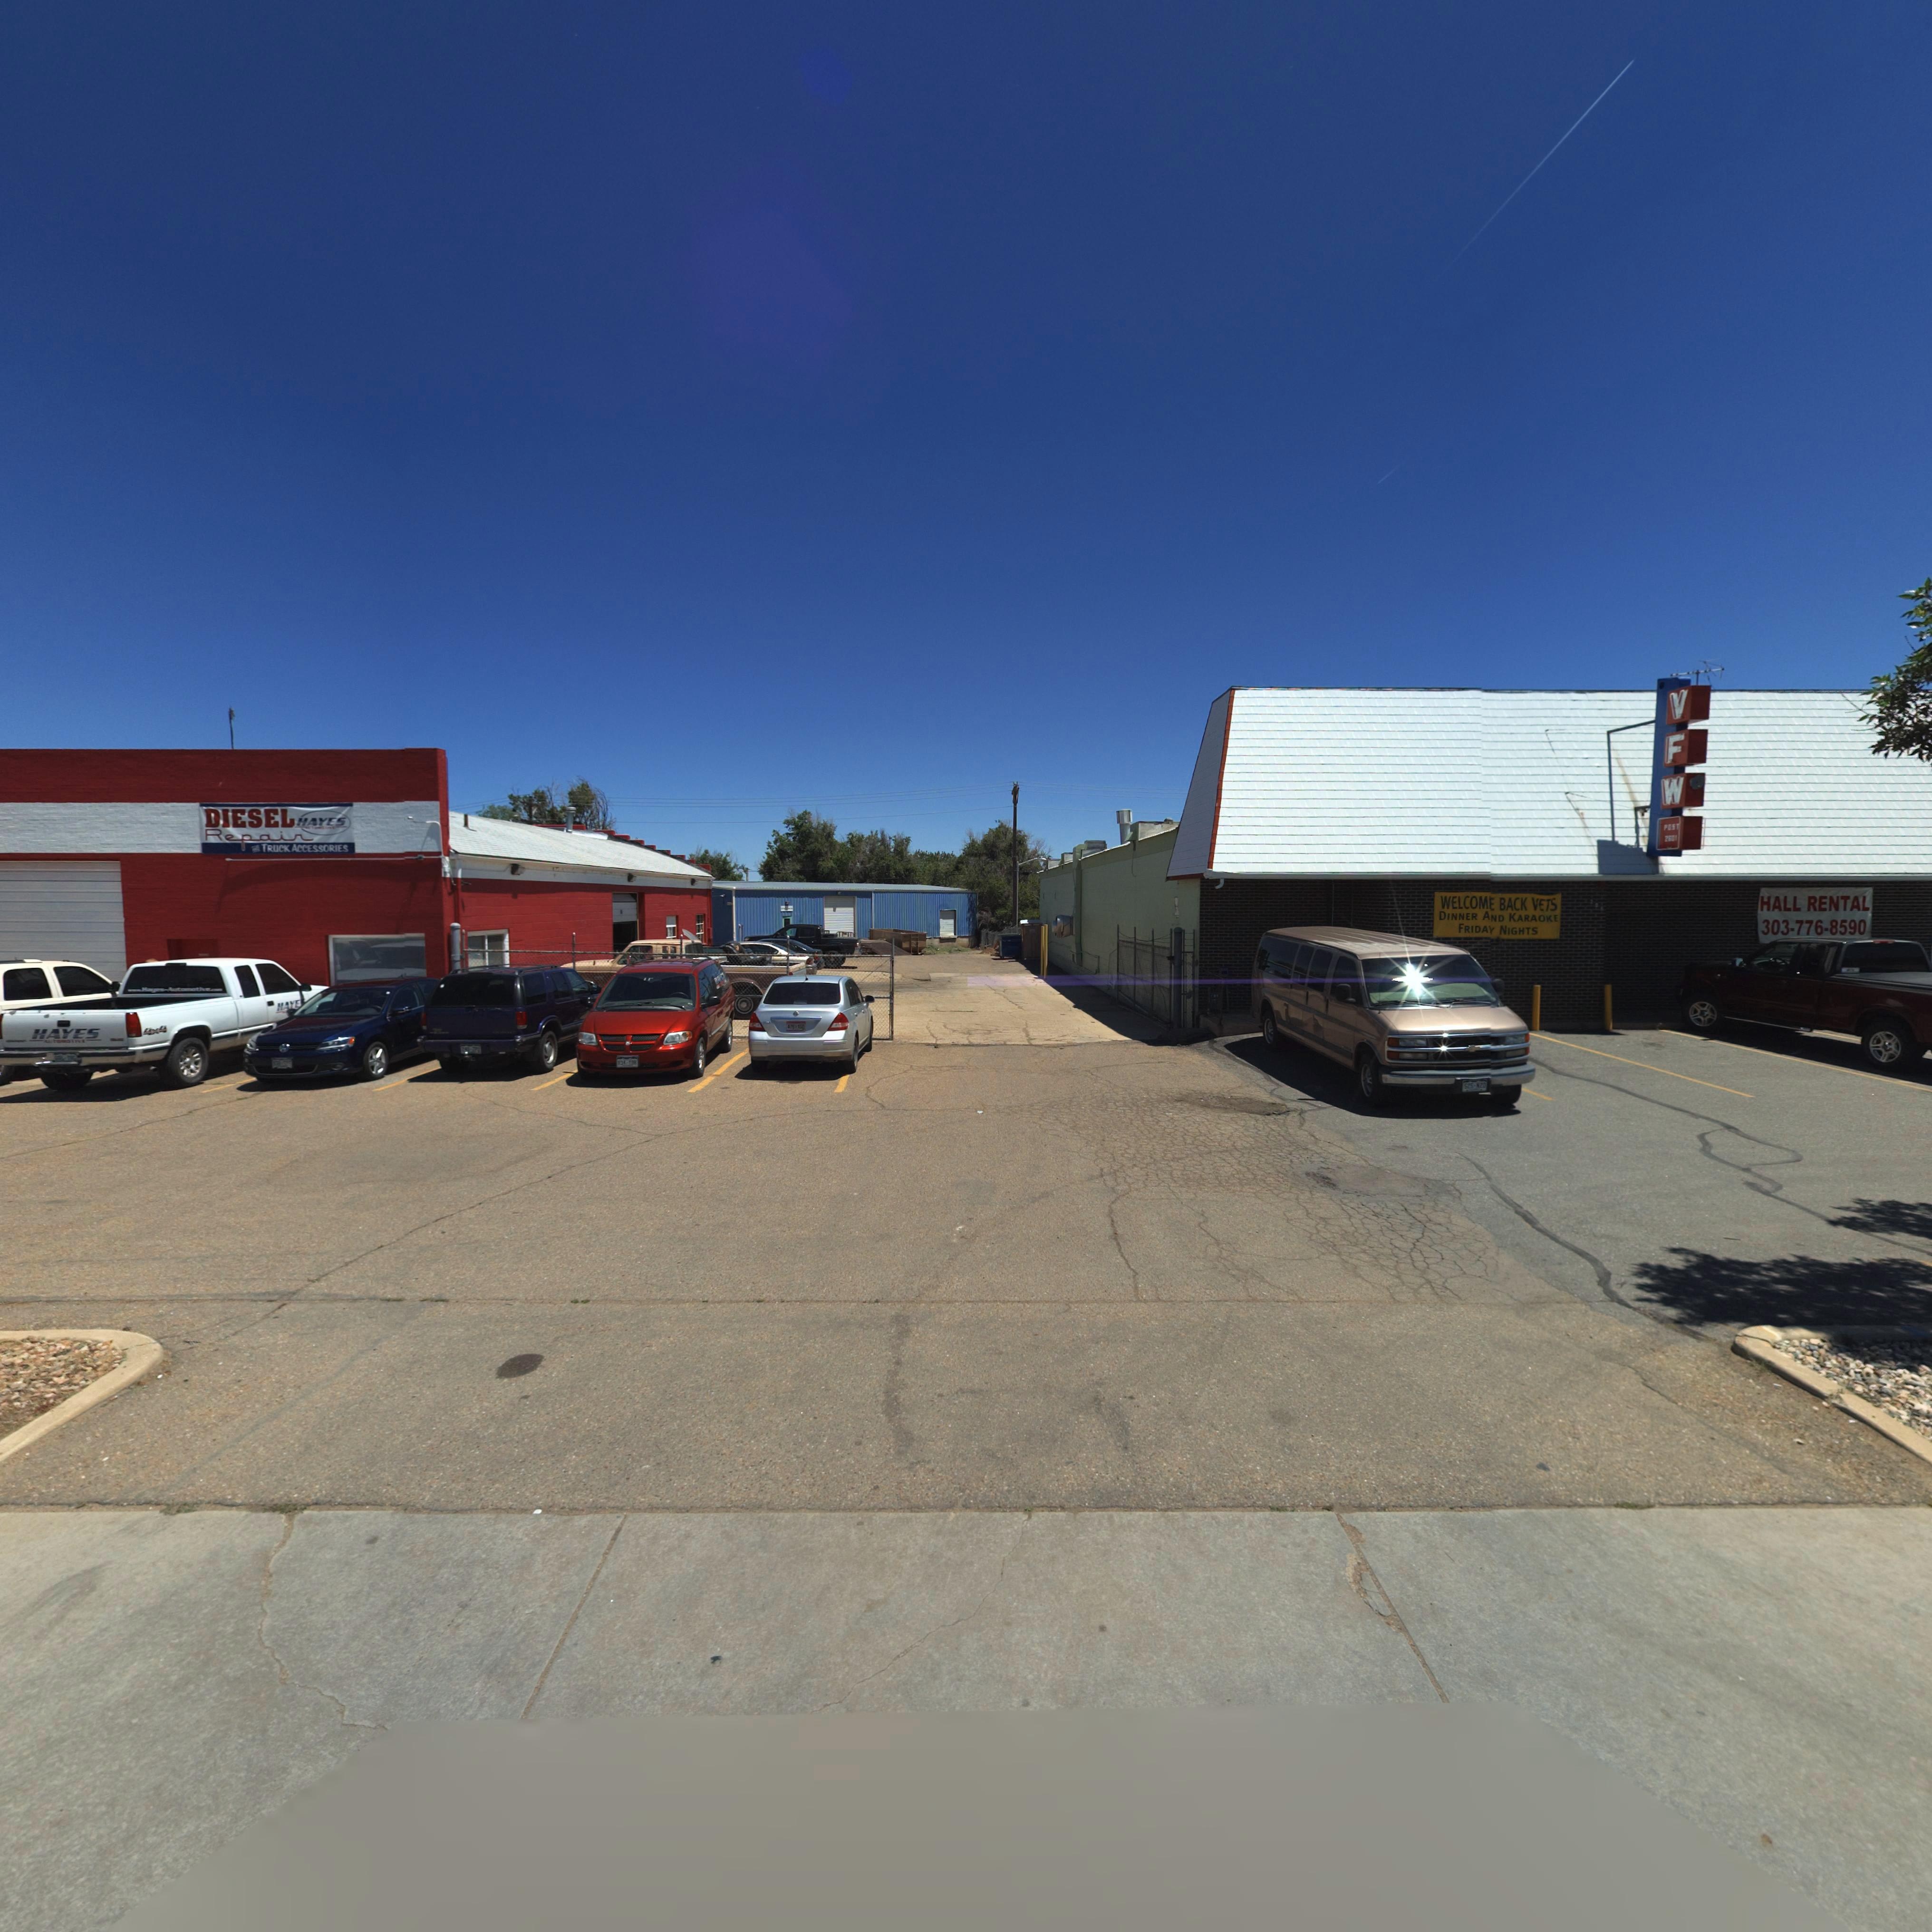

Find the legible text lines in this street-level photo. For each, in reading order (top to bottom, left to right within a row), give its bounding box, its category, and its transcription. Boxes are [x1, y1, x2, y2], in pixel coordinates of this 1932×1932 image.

[1661, 688, 1689, 805] BusinessName: VFW
[203, 808, 295, 828] BusinessName: DIESEL
[296, 817, 347, 826] BusinessName: HAYES
[204, 829, 313, 851] BusinessName: Repair
[1664, 834, 1677, 842] StreetNumber: 2601